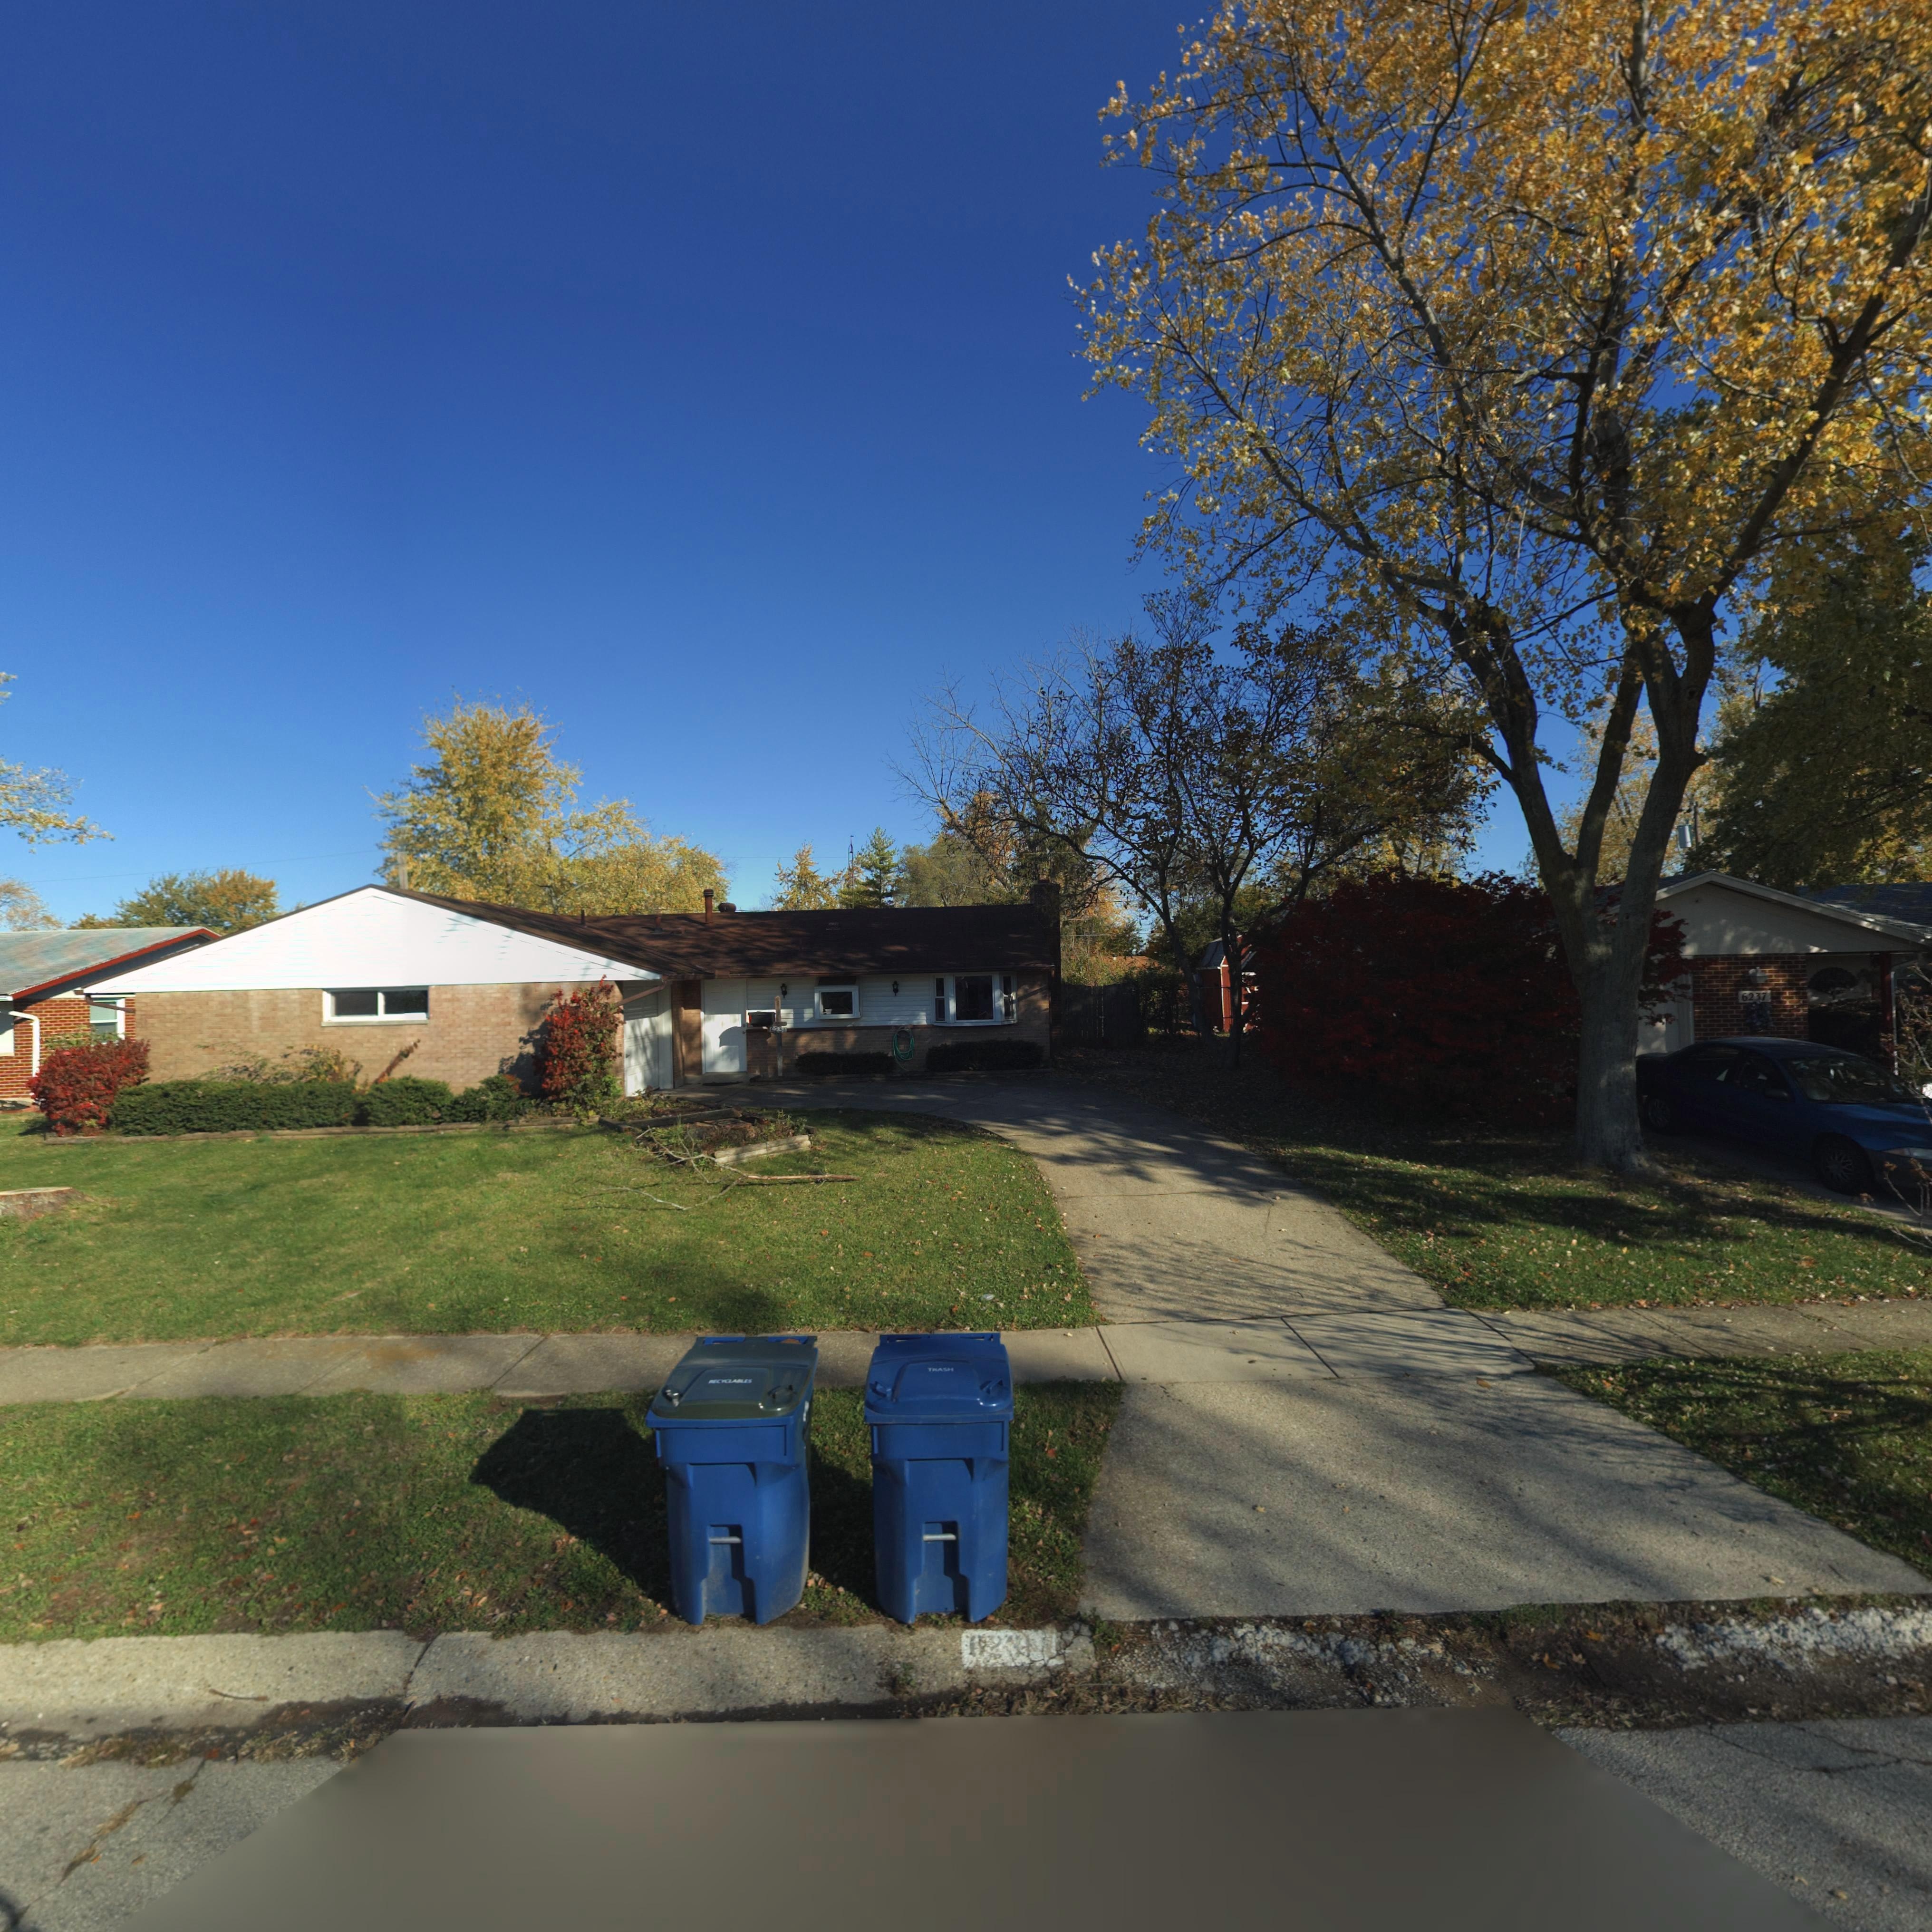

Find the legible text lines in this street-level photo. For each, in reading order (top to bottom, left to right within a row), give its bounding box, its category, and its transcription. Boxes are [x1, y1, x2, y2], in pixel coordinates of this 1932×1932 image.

[1741, 992, 1768, 1002] StreetNumber: 6237
[771, 1026, 785, 1033] StreetNumber: 6231
[969, 1633, 1024, 1662] StreetNumber: 623